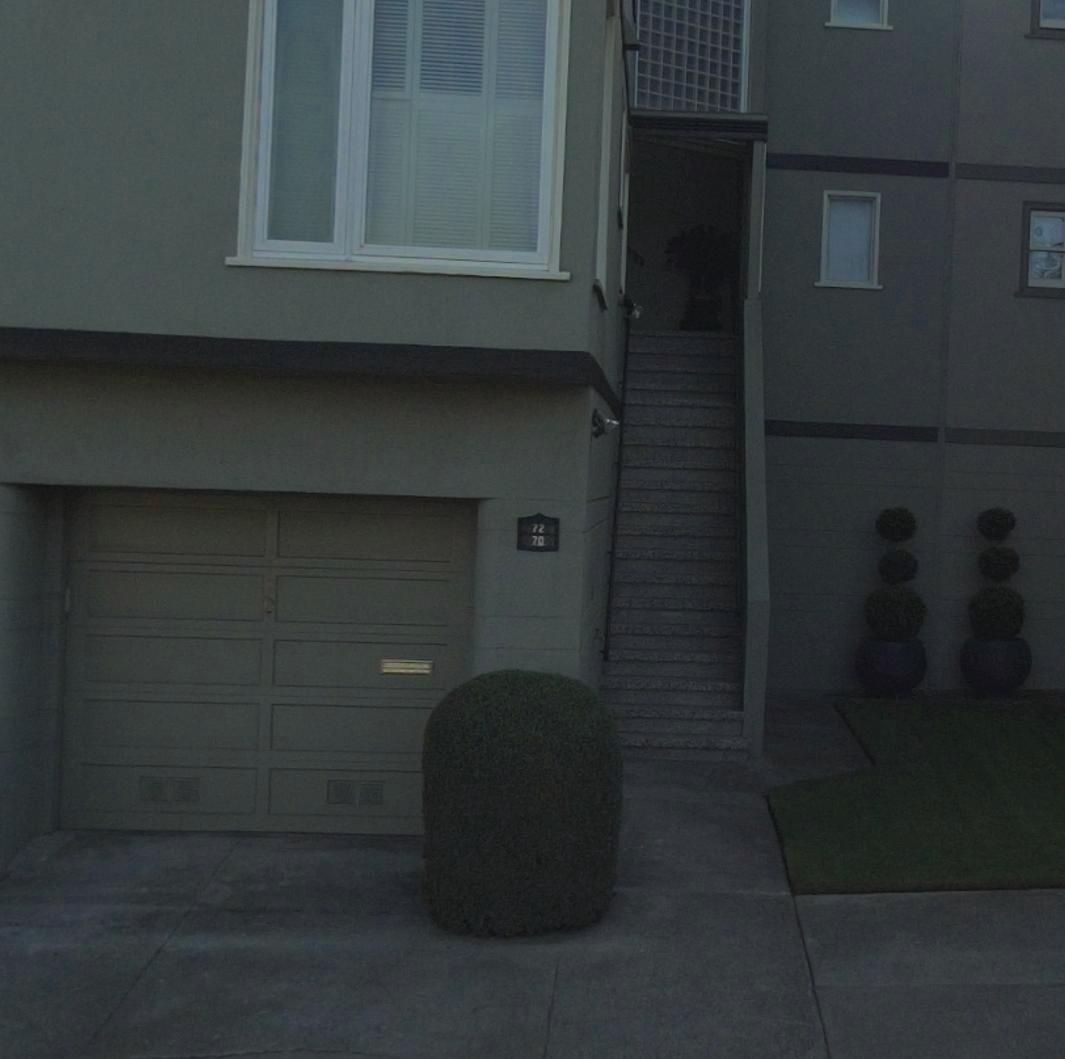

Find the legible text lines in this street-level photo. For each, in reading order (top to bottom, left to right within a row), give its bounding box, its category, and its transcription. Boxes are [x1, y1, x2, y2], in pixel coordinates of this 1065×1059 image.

[530, 522, 547, 536] StreetNumber: 72
[530, 533, 546, 548] StreetNumber: 70